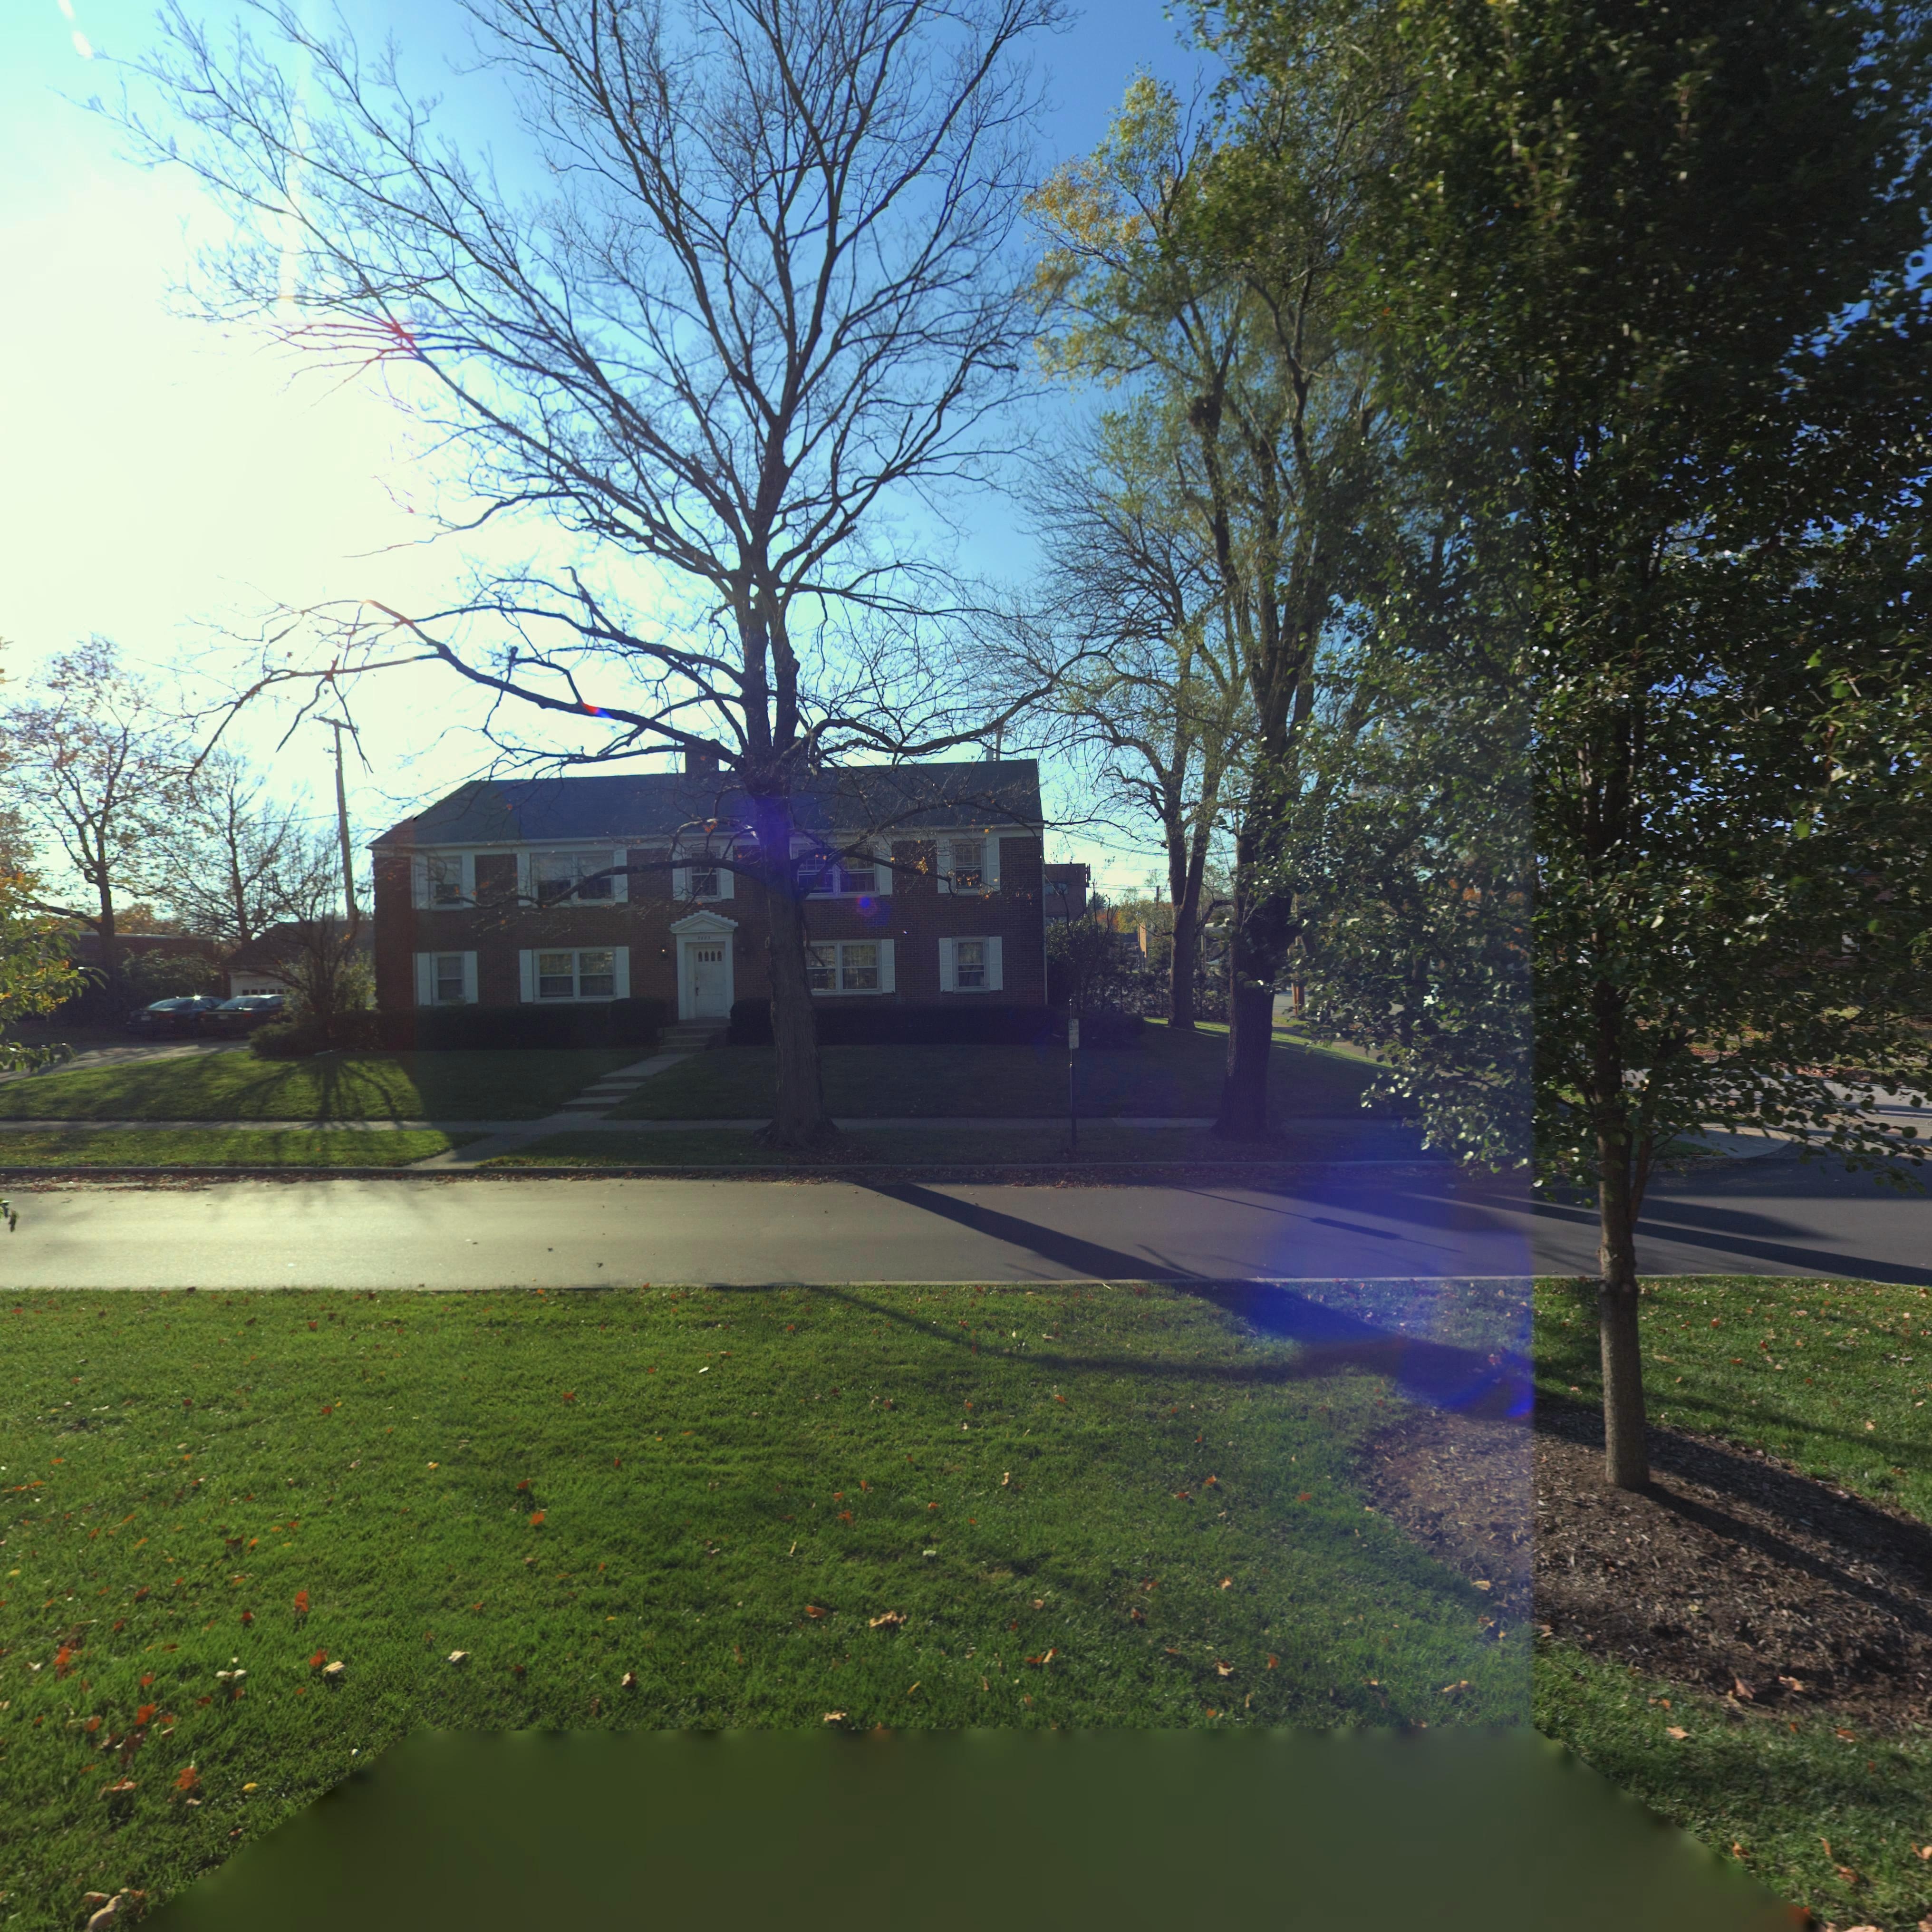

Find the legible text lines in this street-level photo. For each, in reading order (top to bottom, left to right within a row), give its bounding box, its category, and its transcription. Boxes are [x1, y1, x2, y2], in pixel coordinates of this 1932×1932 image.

[697, 935, 711, 941] StreetNumber: 2605